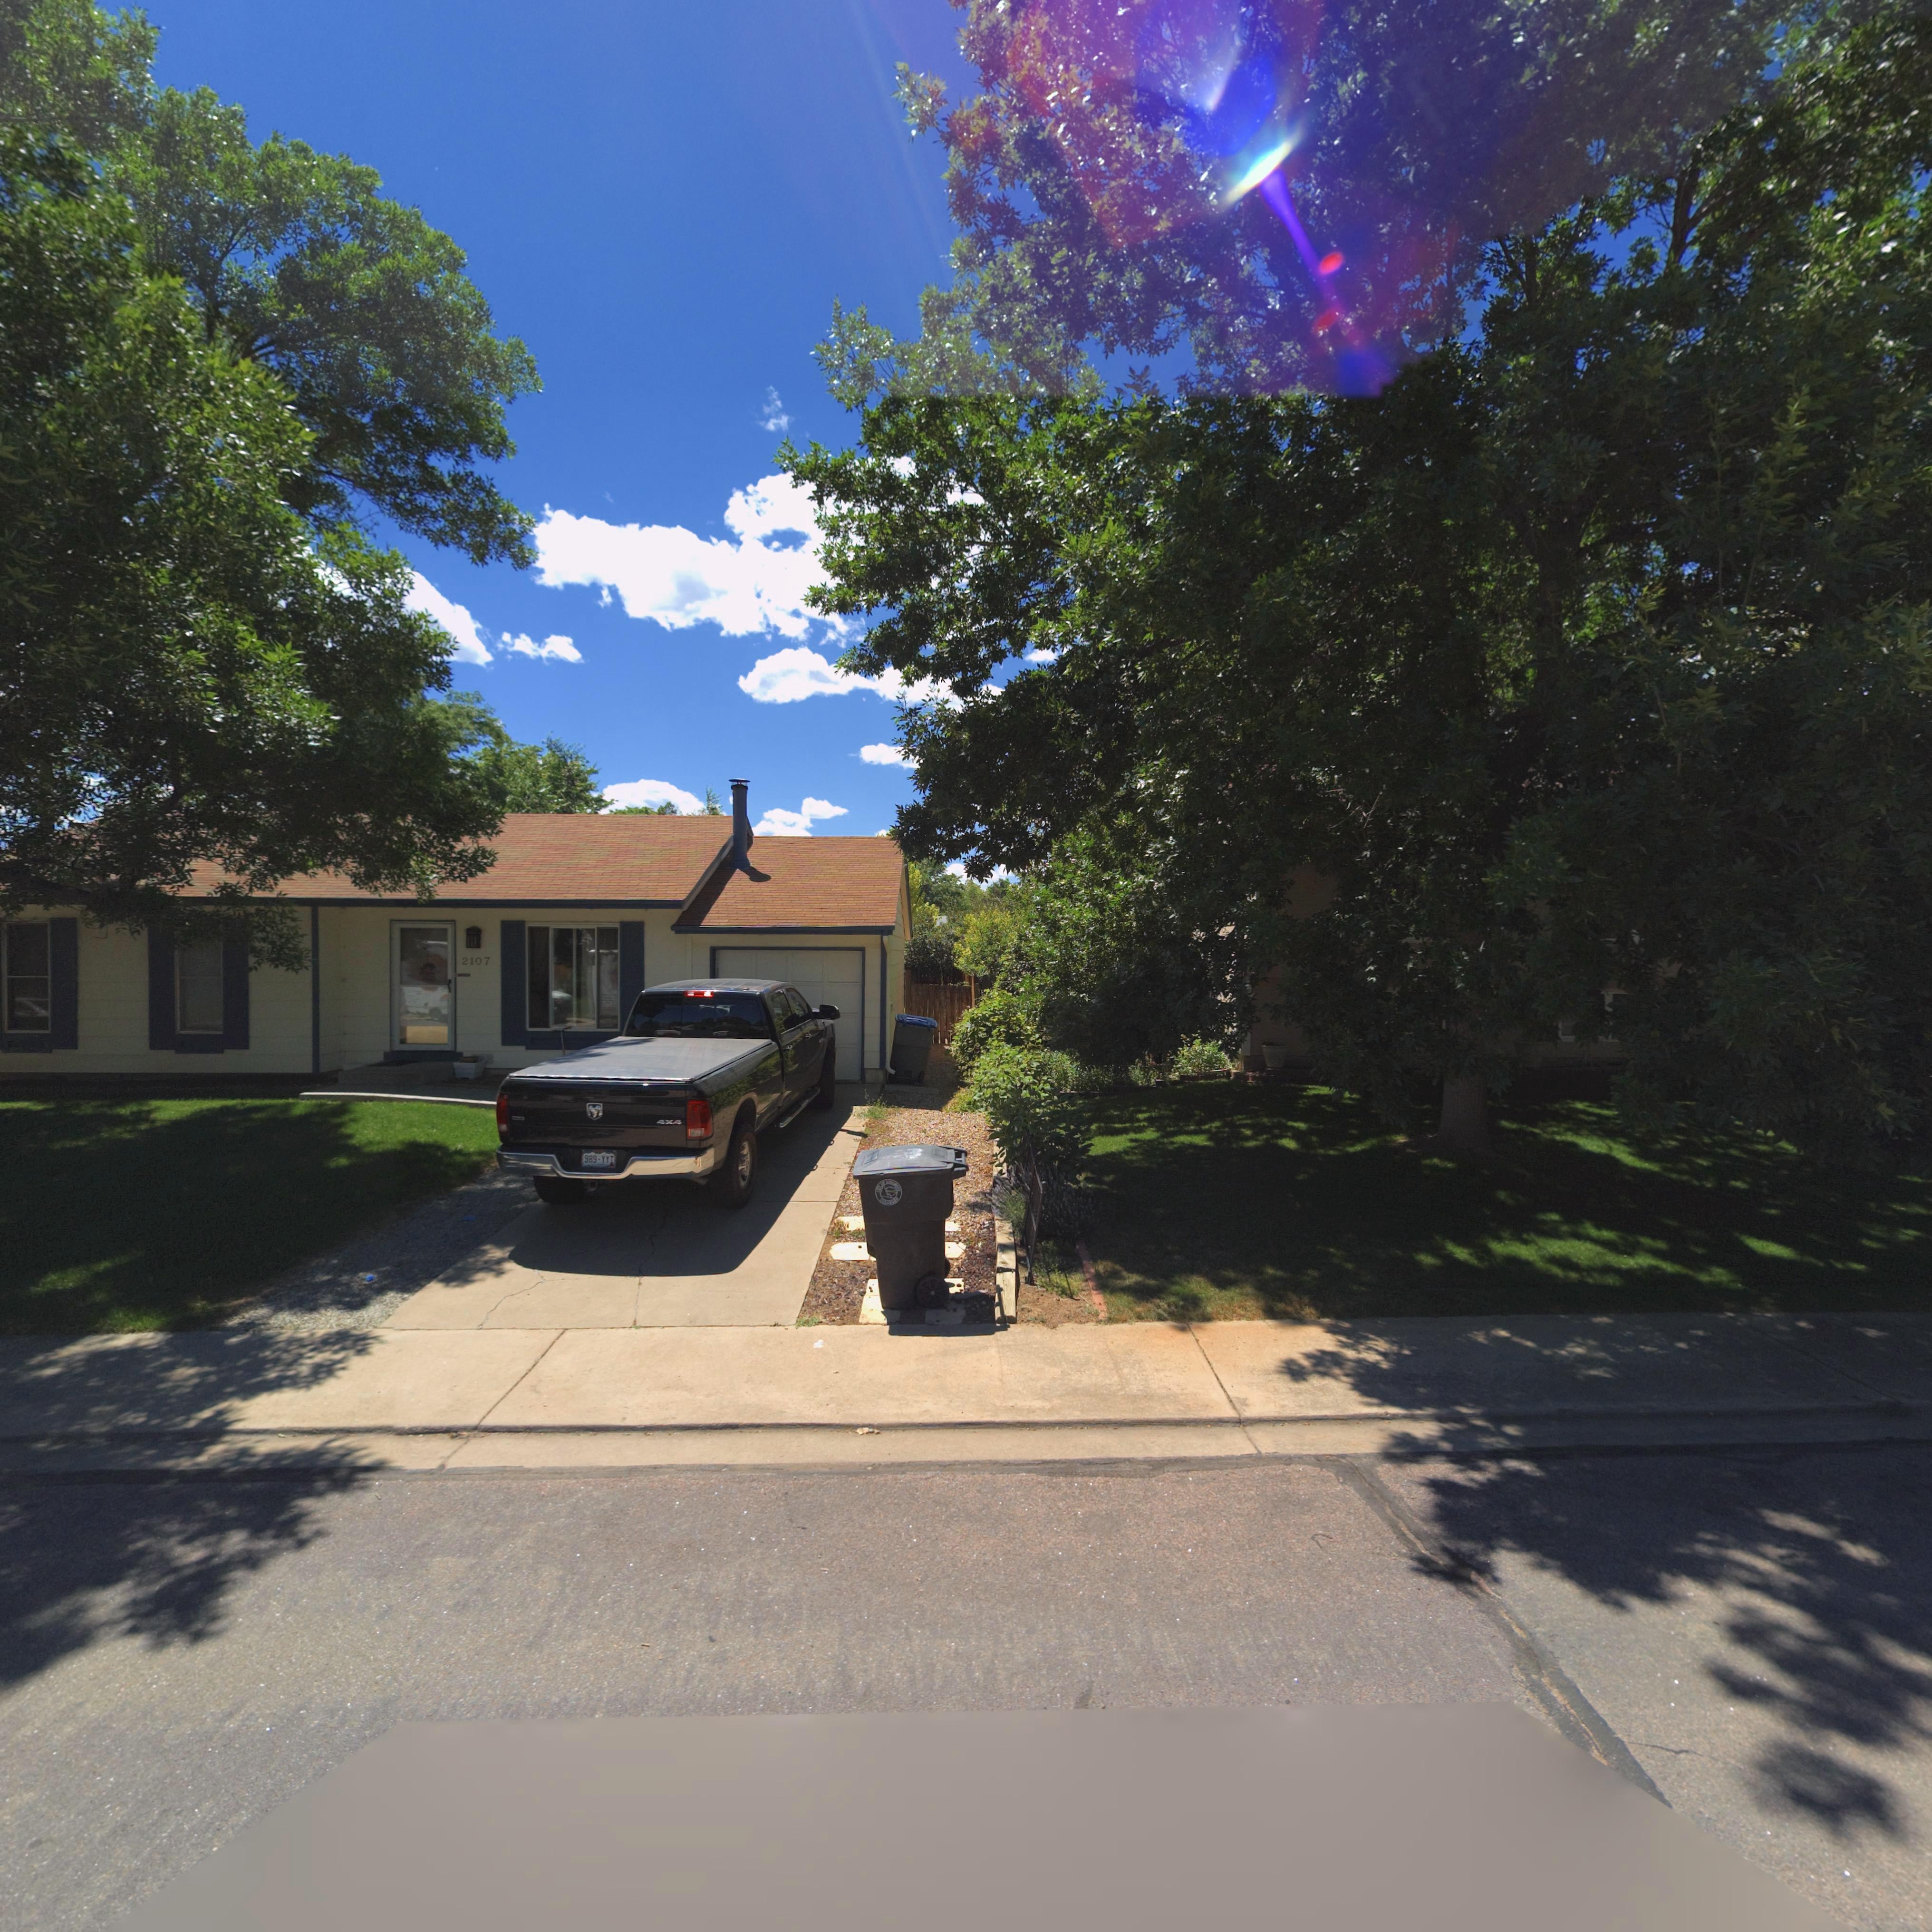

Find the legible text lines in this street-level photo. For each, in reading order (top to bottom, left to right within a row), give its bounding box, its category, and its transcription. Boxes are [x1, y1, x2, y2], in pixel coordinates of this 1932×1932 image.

[461, 956, 490, 965] StreetNumber: 2107